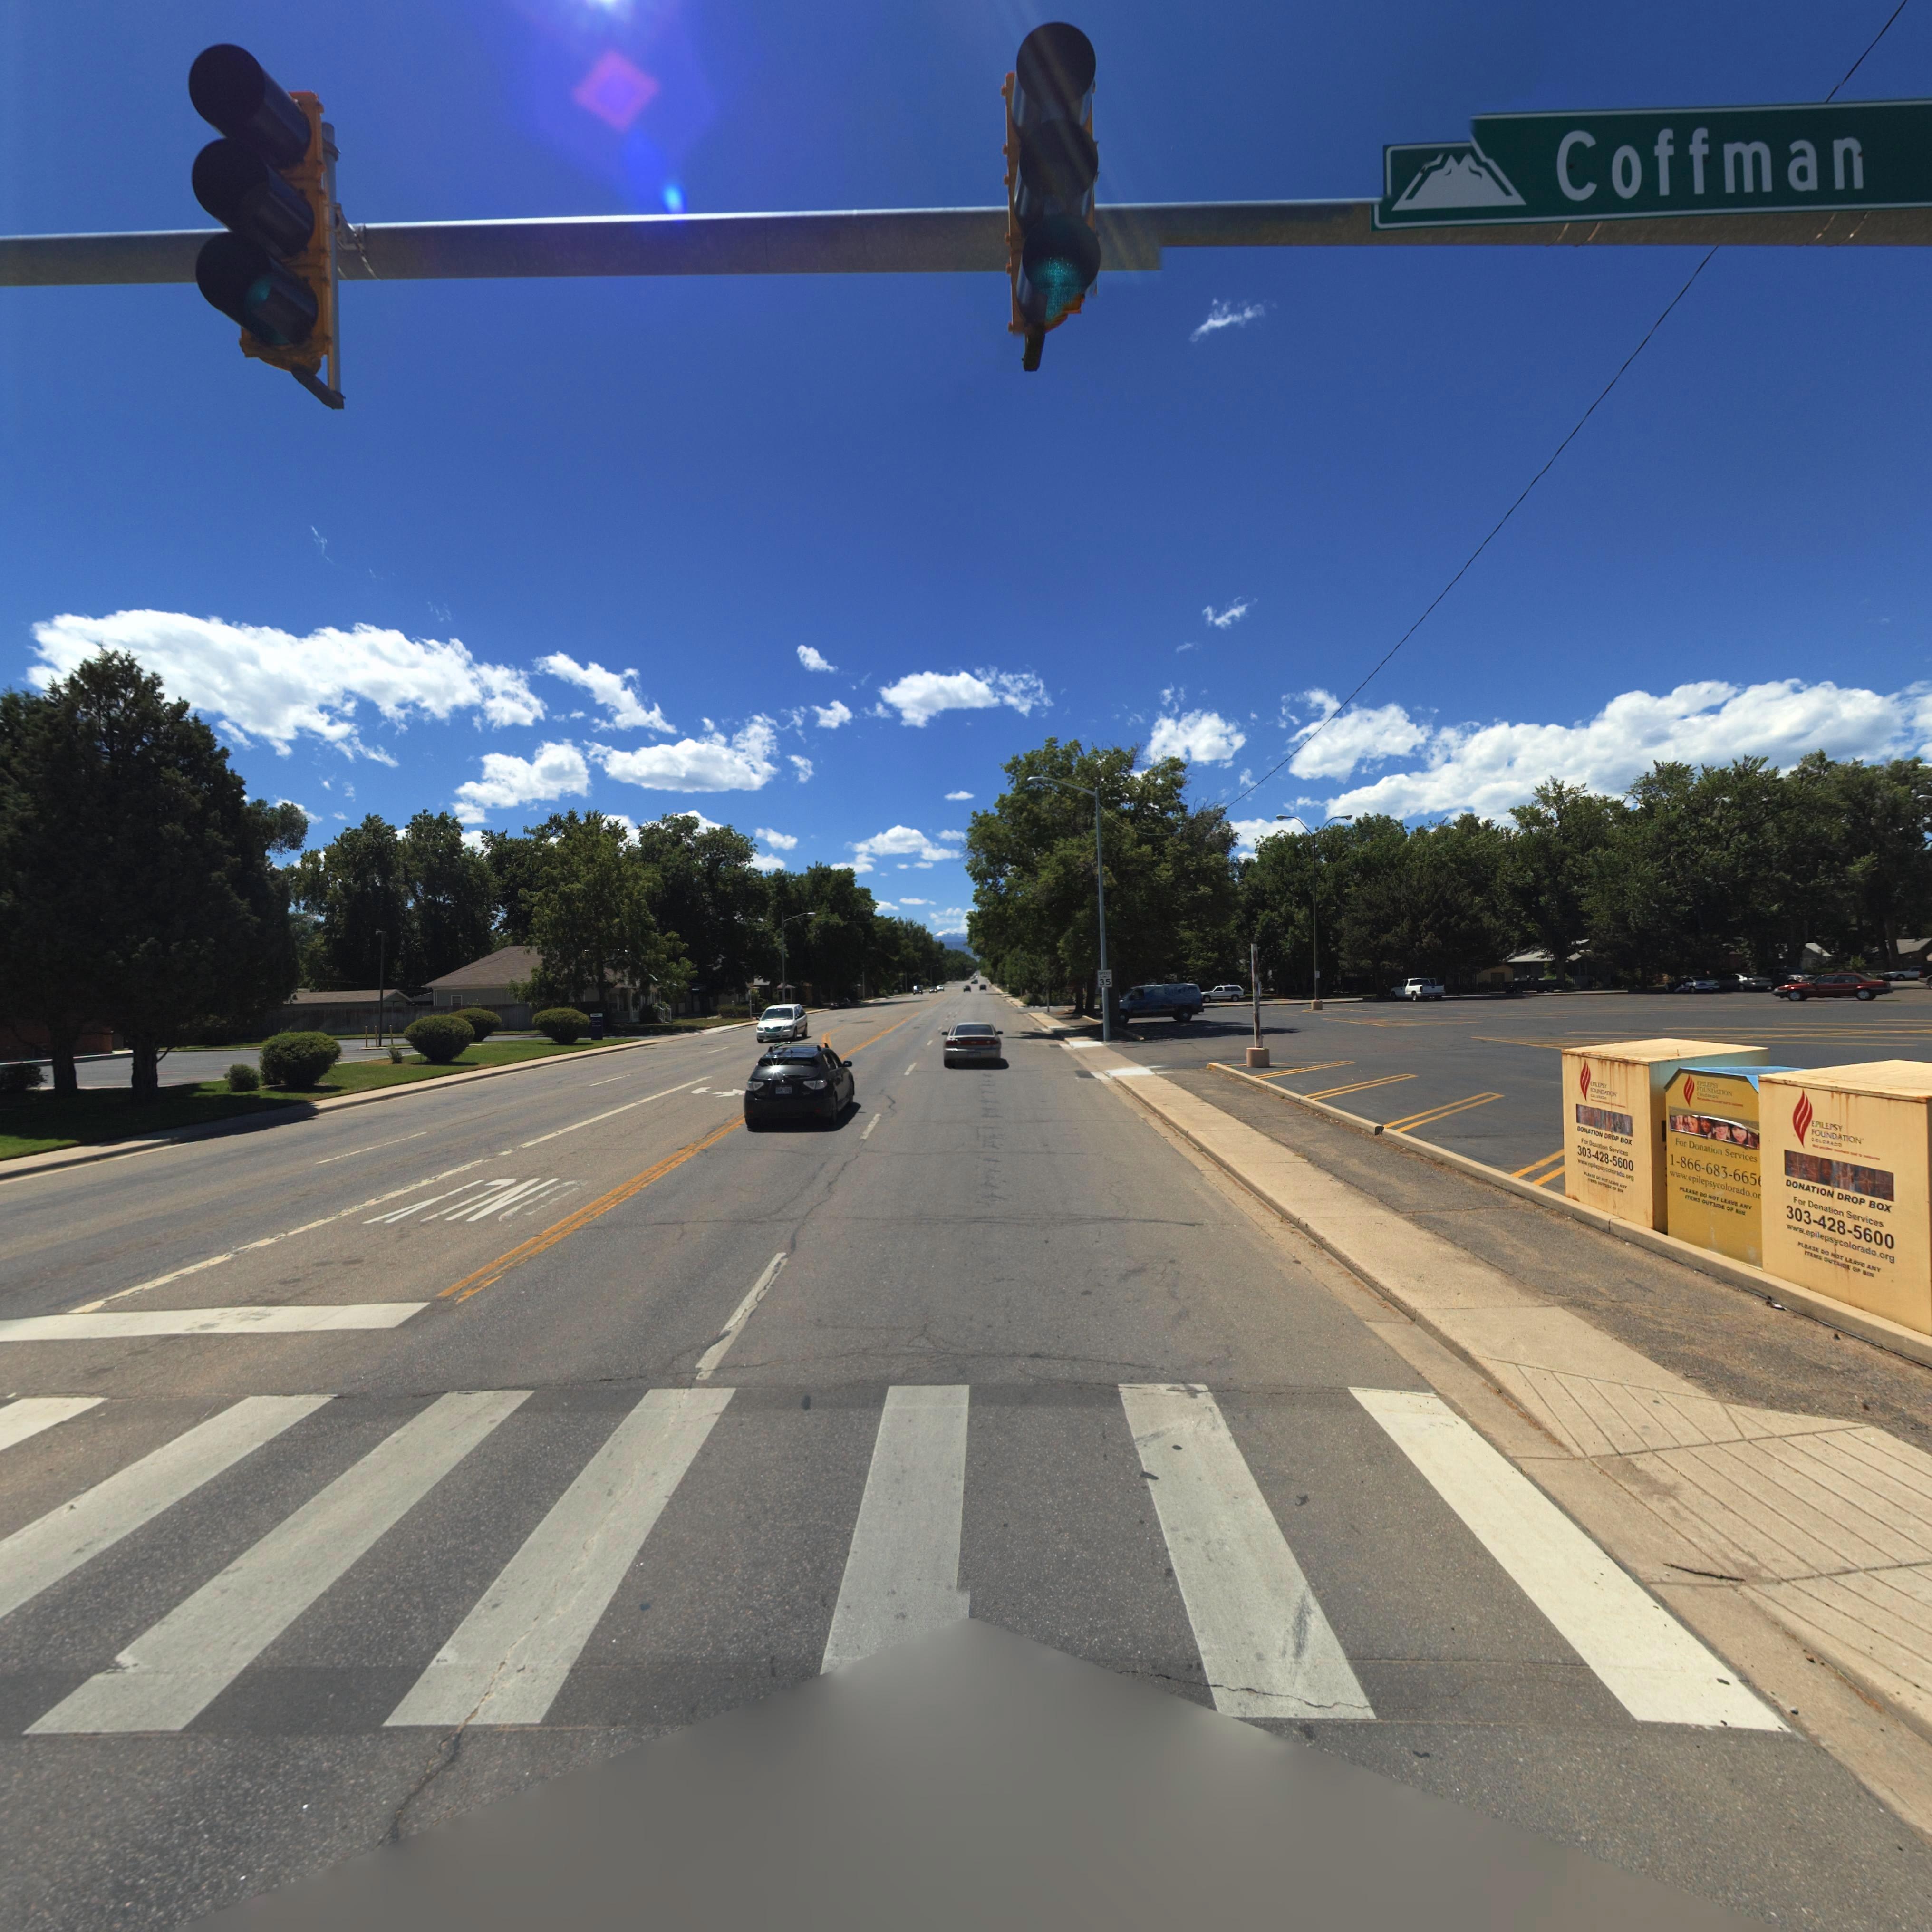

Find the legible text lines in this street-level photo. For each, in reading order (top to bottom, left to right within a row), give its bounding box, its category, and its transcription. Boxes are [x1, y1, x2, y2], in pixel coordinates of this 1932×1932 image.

[1553, 125, 1866, 204] StreetName: Coffman
[591, 1014, 599, 1016] BusinessName: *****k